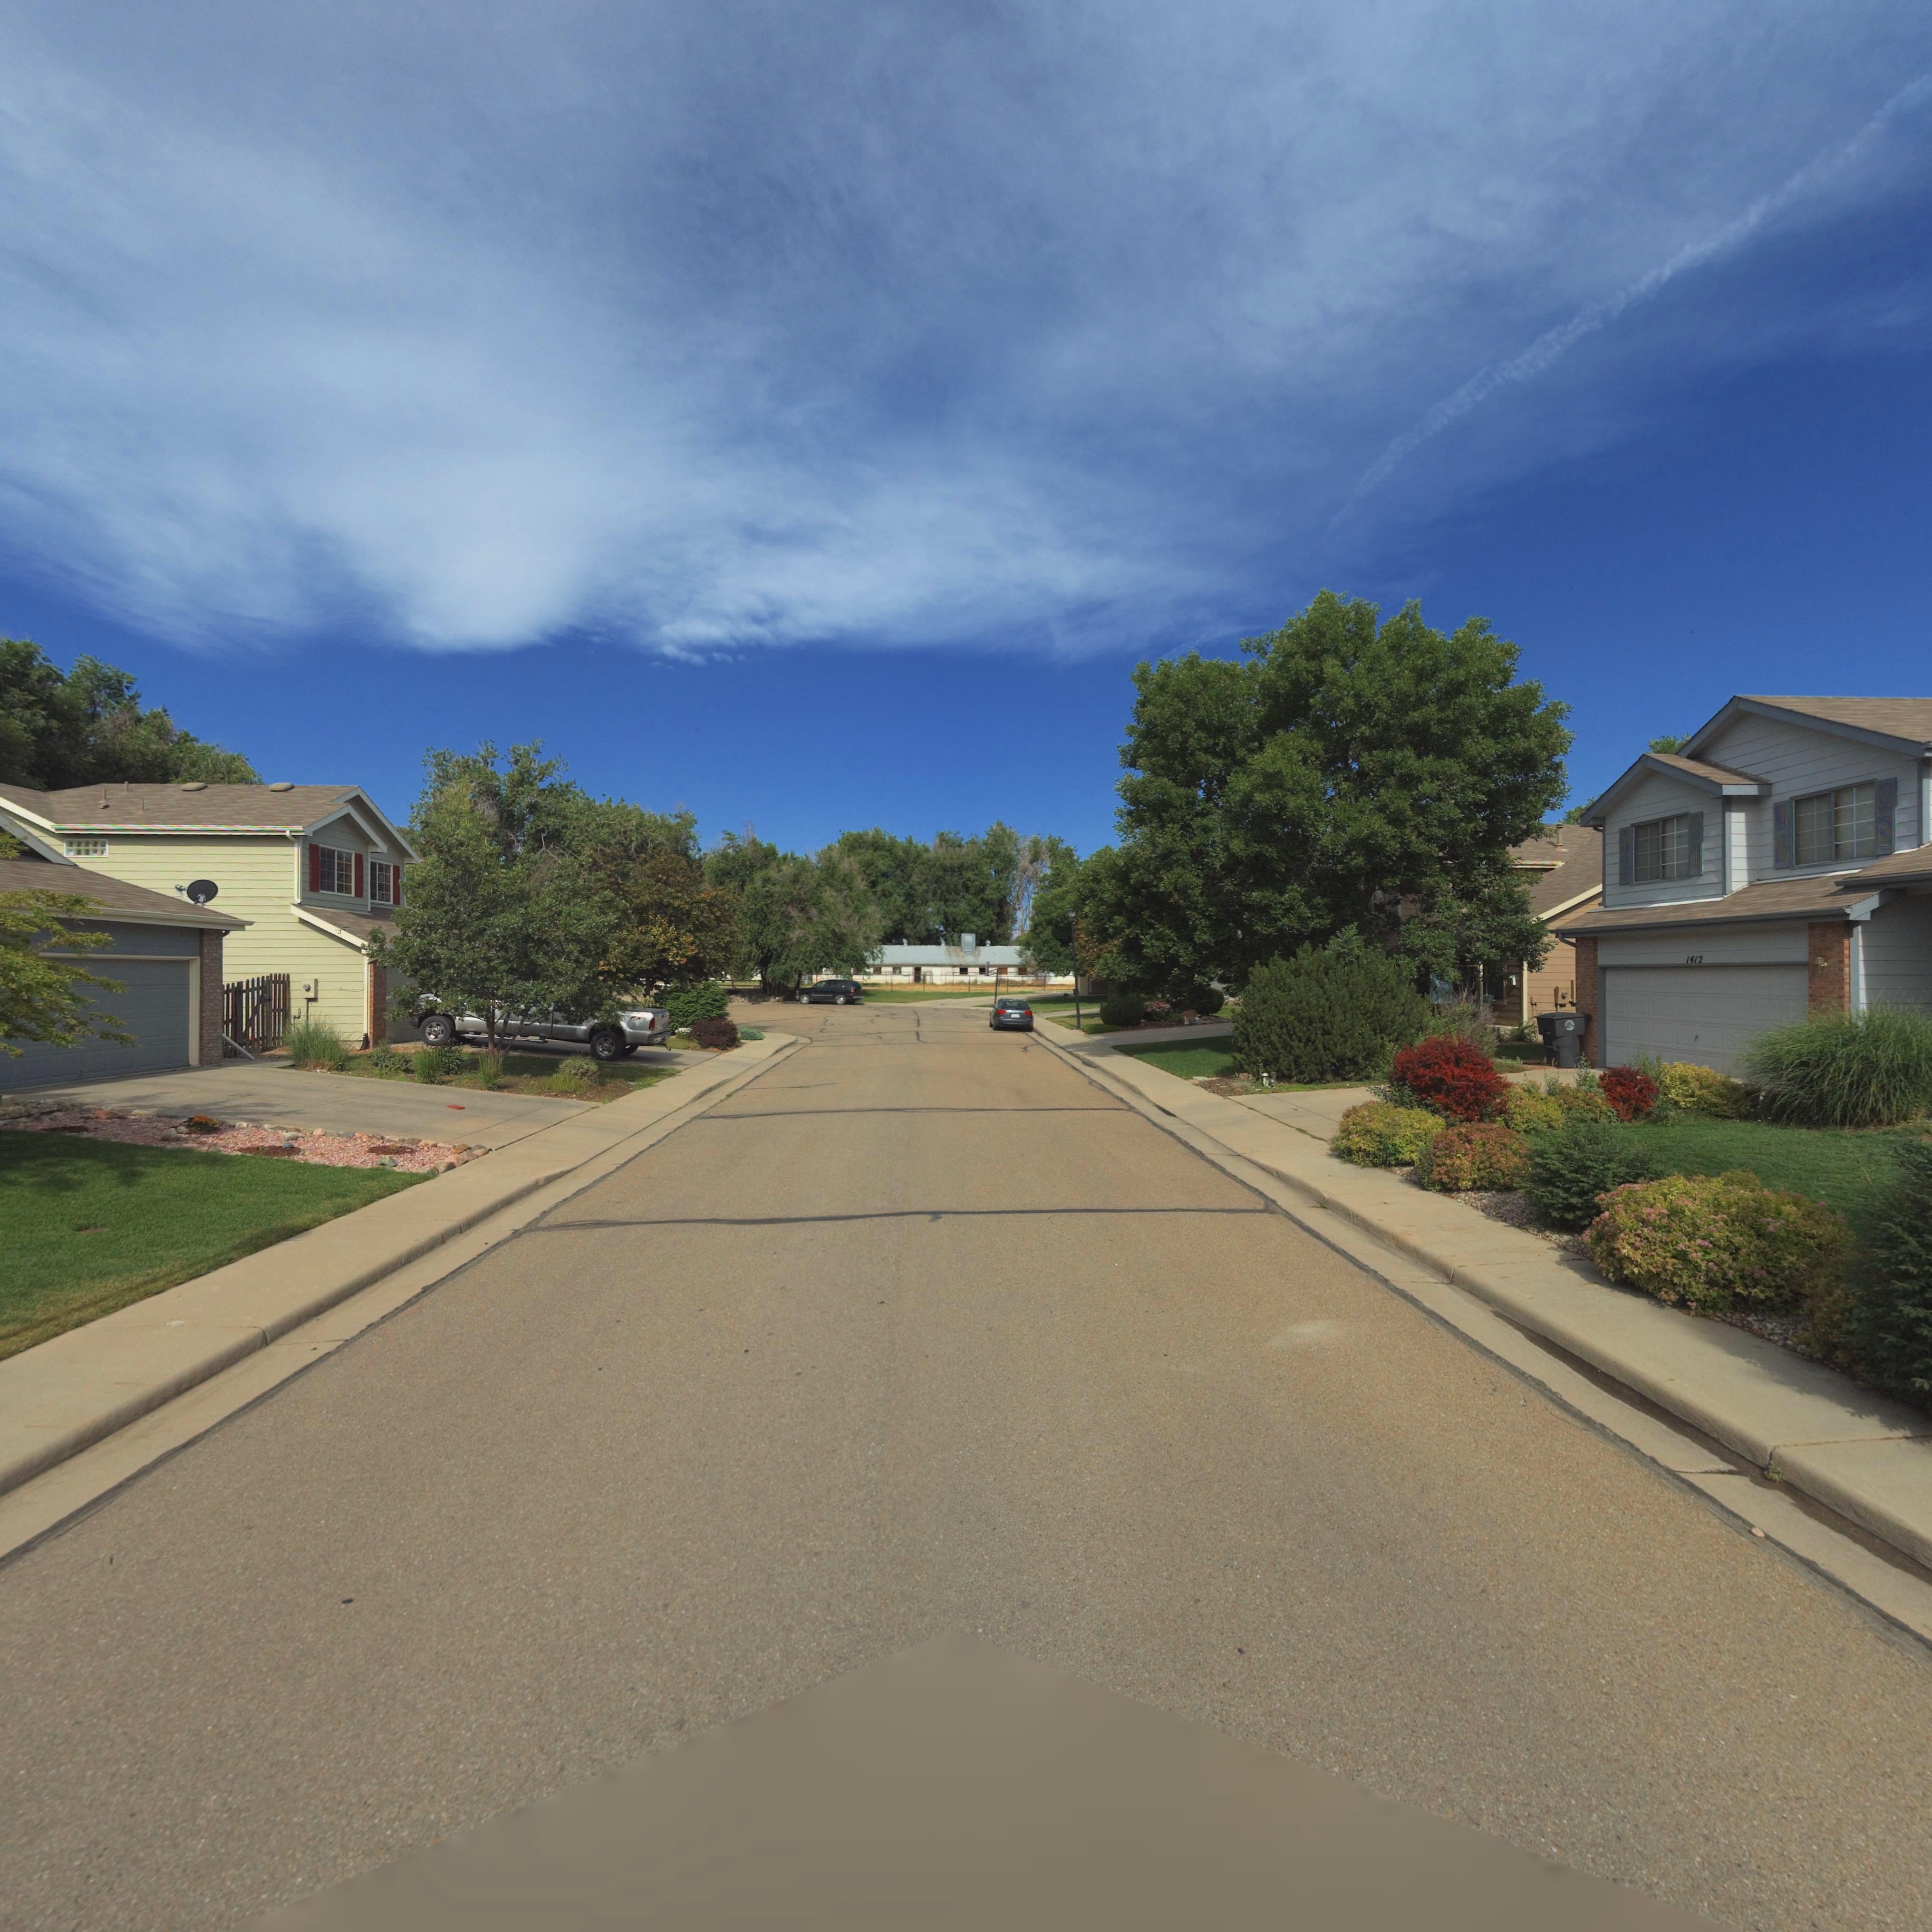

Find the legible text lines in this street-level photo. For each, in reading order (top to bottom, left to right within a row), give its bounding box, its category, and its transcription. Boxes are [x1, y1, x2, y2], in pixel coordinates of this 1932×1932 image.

[1686, 955, 1703, 963] StreetNumber: 1412